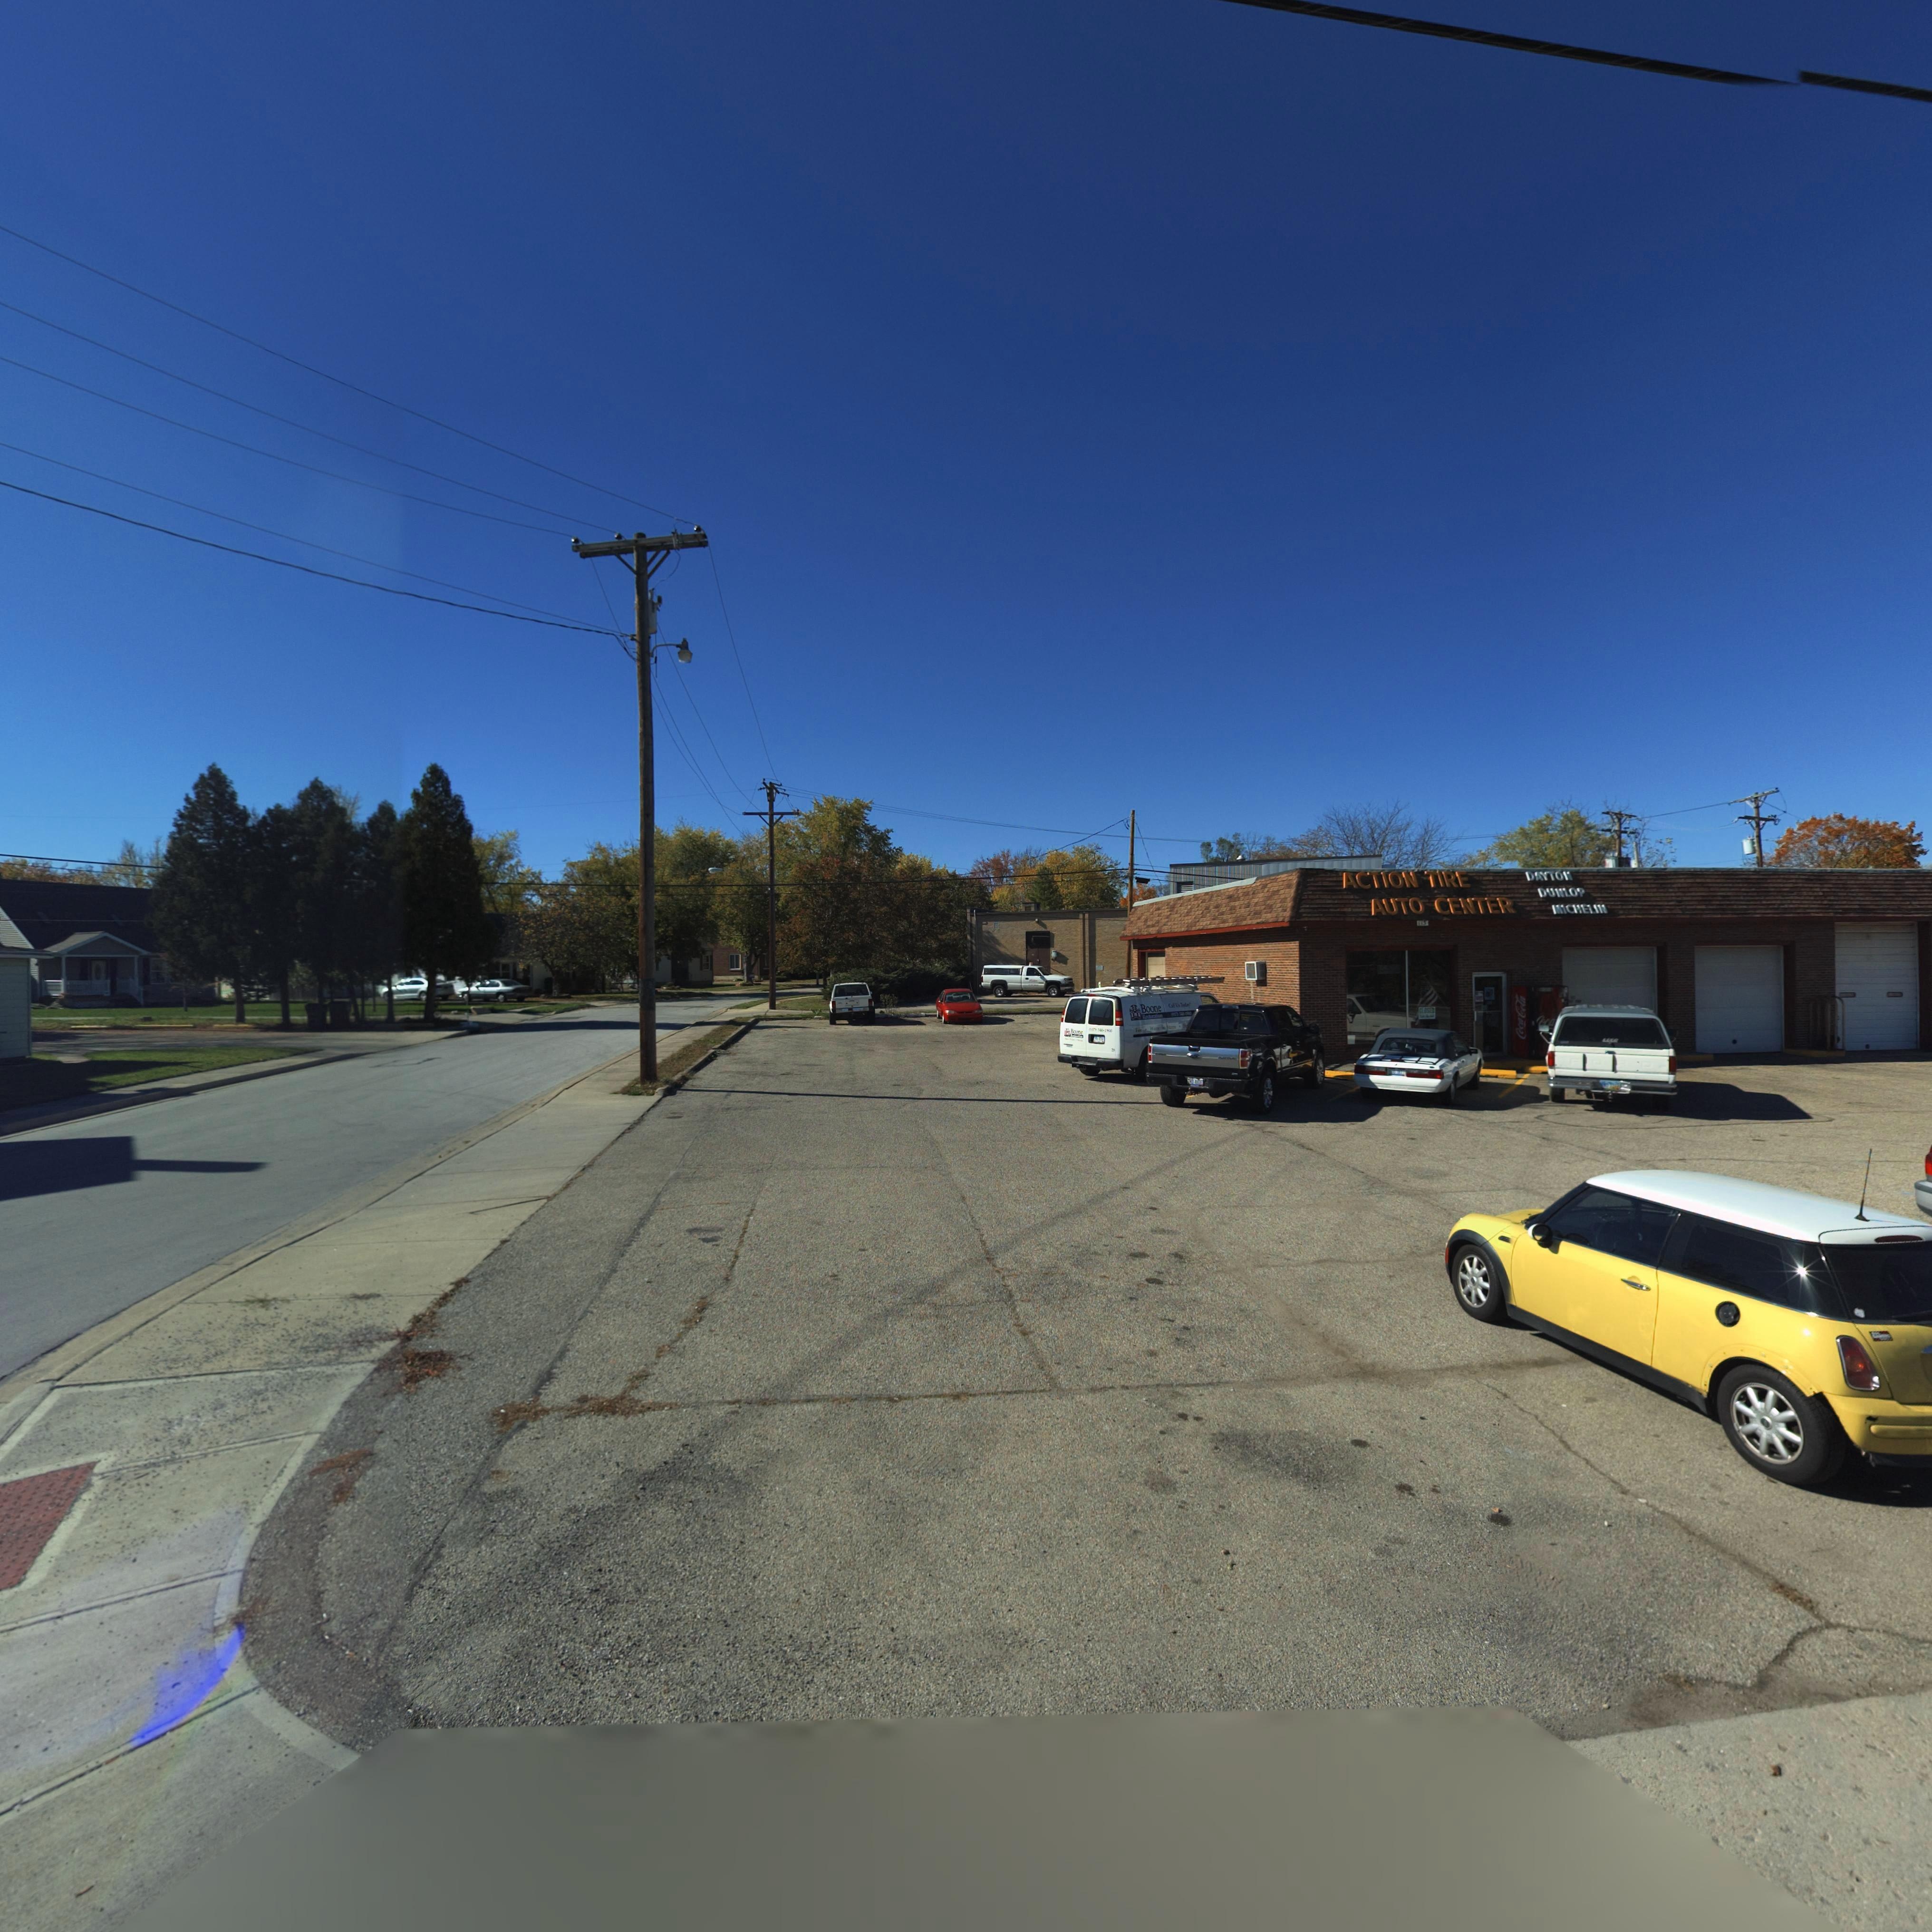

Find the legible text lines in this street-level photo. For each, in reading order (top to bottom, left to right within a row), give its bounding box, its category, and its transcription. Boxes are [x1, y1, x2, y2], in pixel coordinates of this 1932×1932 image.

[1341, 869, 1474, 890] BusinessName: ACTION TIRE
[1369, 895, 1518, 917] BusinessName: AUTO CENTER
[1417, 919, 1428, 927] StreetNumber: 115